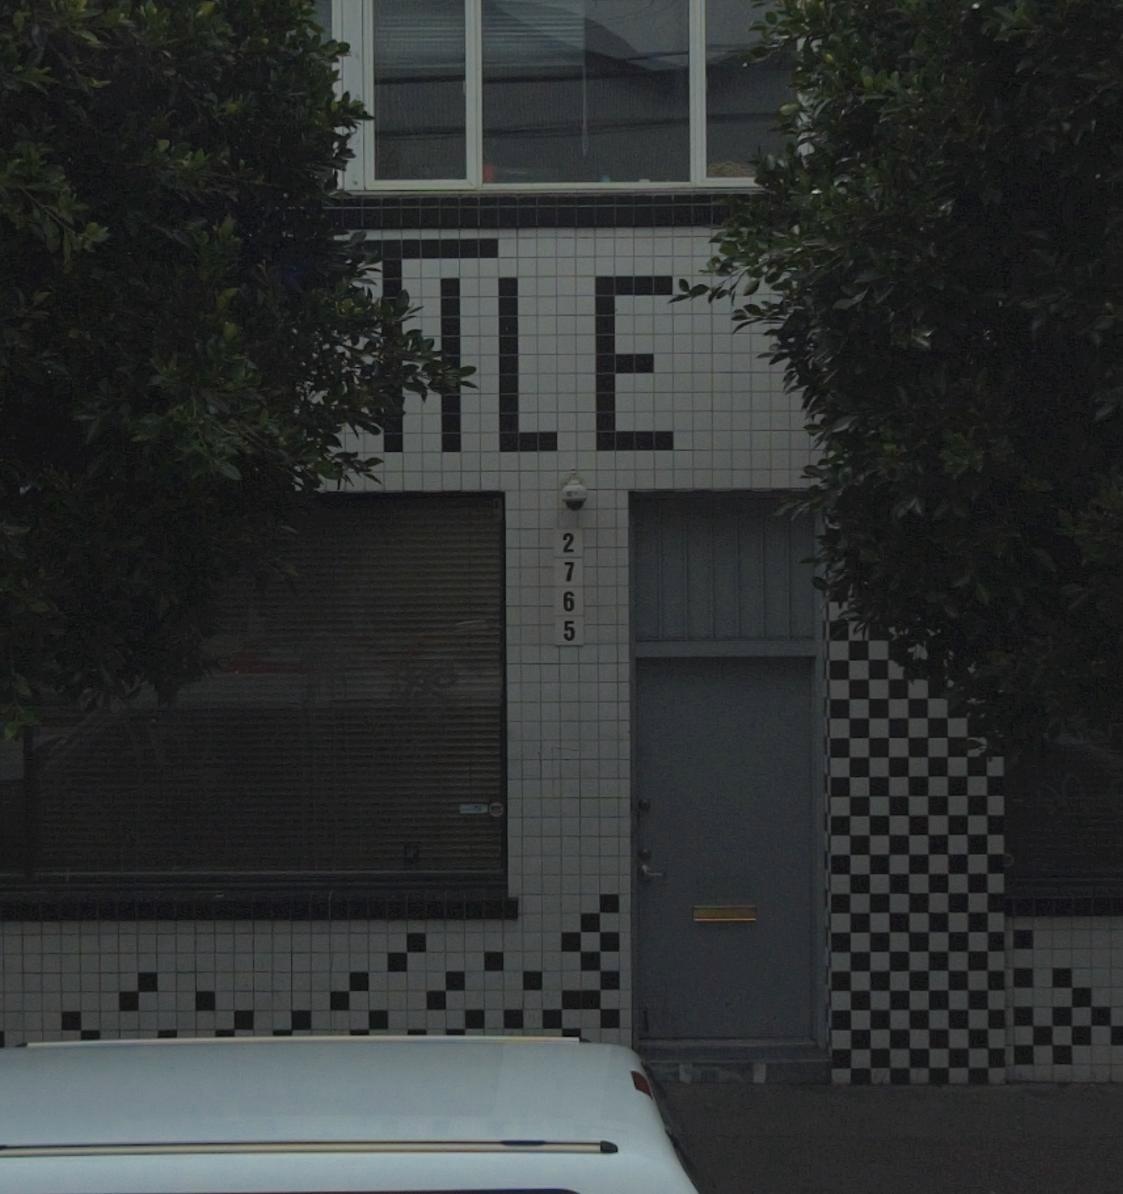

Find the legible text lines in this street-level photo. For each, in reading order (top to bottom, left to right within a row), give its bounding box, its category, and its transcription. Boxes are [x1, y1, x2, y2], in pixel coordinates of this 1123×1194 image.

[490, 269, 675, 454] None: LE
[561, 531, 577, 643] StreetNumber: 2765